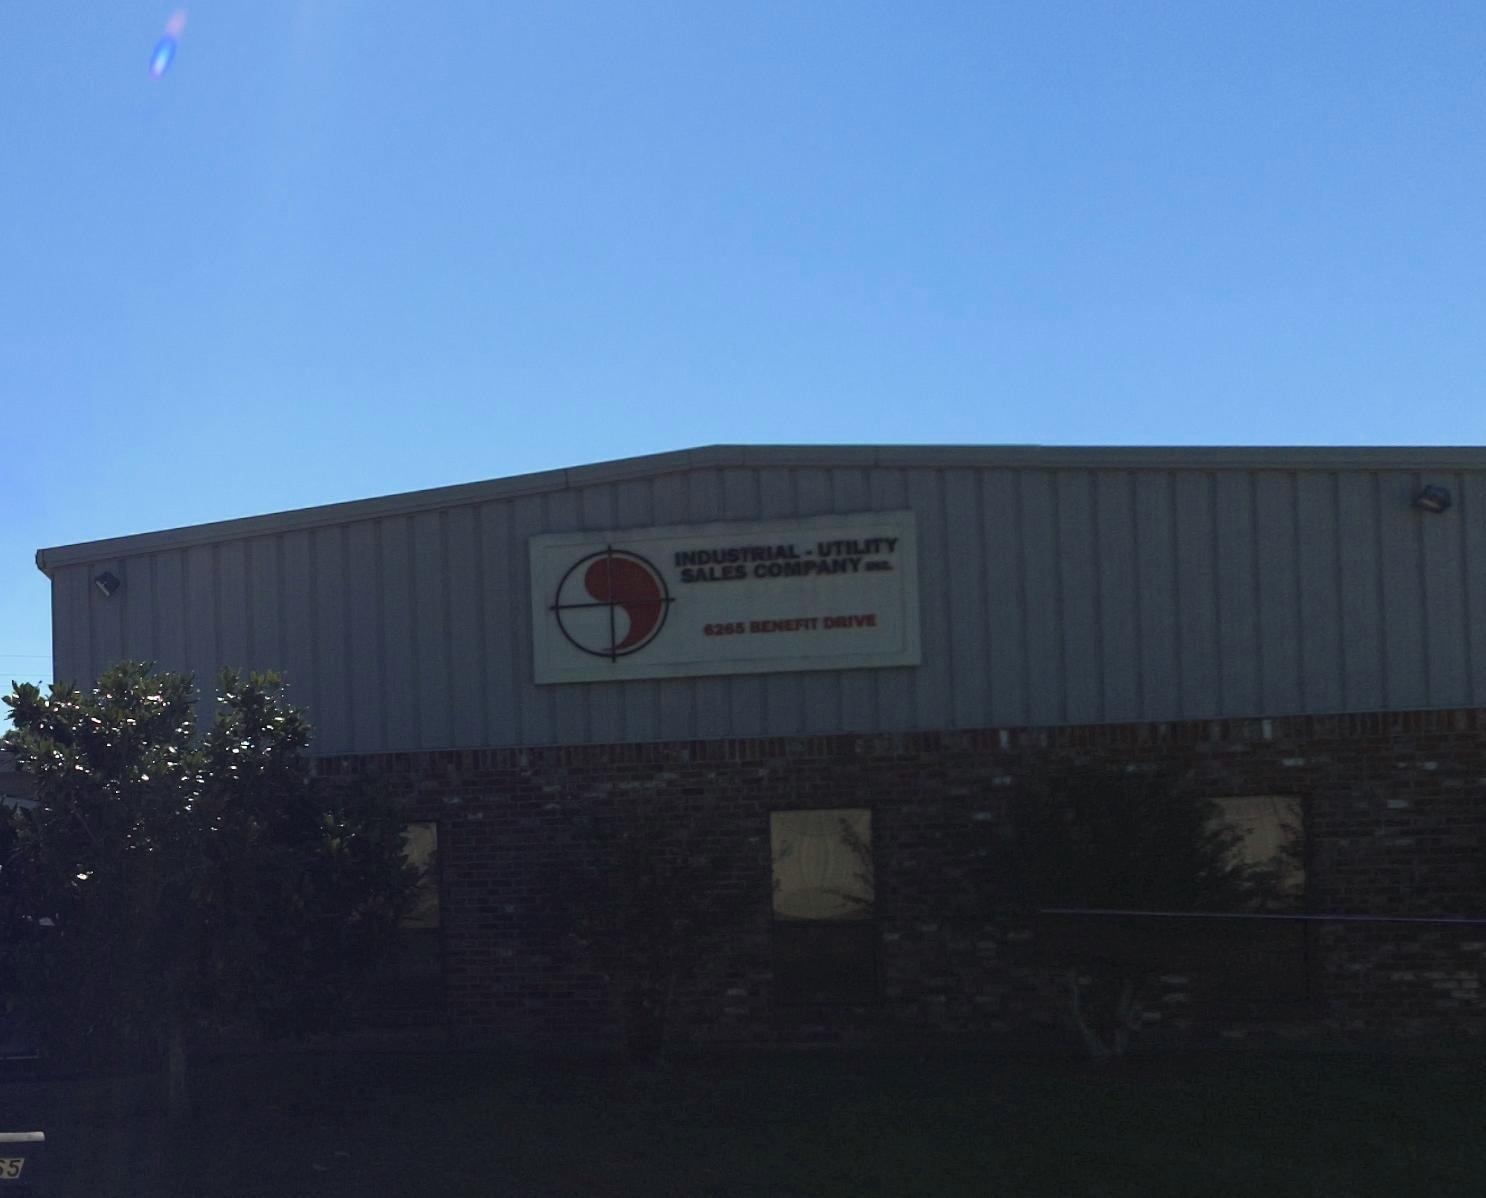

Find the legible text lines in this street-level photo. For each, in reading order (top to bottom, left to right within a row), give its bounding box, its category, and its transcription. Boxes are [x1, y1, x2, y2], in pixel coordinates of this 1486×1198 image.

[672, 534, 901, 571] BusinessName: INDUSTRIAL * UTILITY
[677, 554, 897, 586] BusinessName: SALES COMPANY ***.
[700, 618, 748, 640] StreetNumber: 6265
[747, 608, 880, 637] StreetName: BENEFIT DRIVE